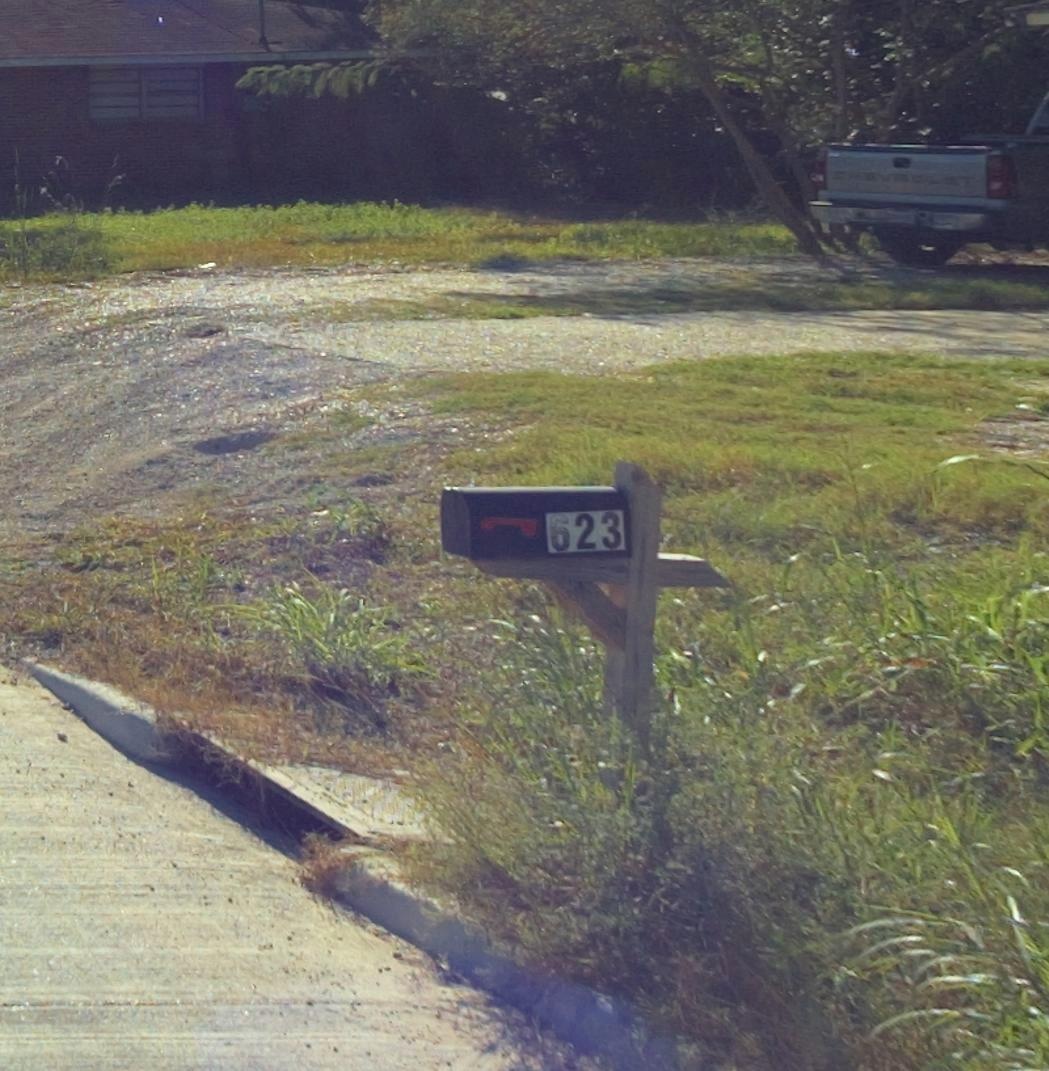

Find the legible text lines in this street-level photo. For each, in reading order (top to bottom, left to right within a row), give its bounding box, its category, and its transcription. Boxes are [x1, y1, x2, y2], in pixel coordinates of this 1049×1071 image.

[830, 170, 975, 187] None: CHEVROLET
[547, 512, 623, 552] StreetNumber: 623